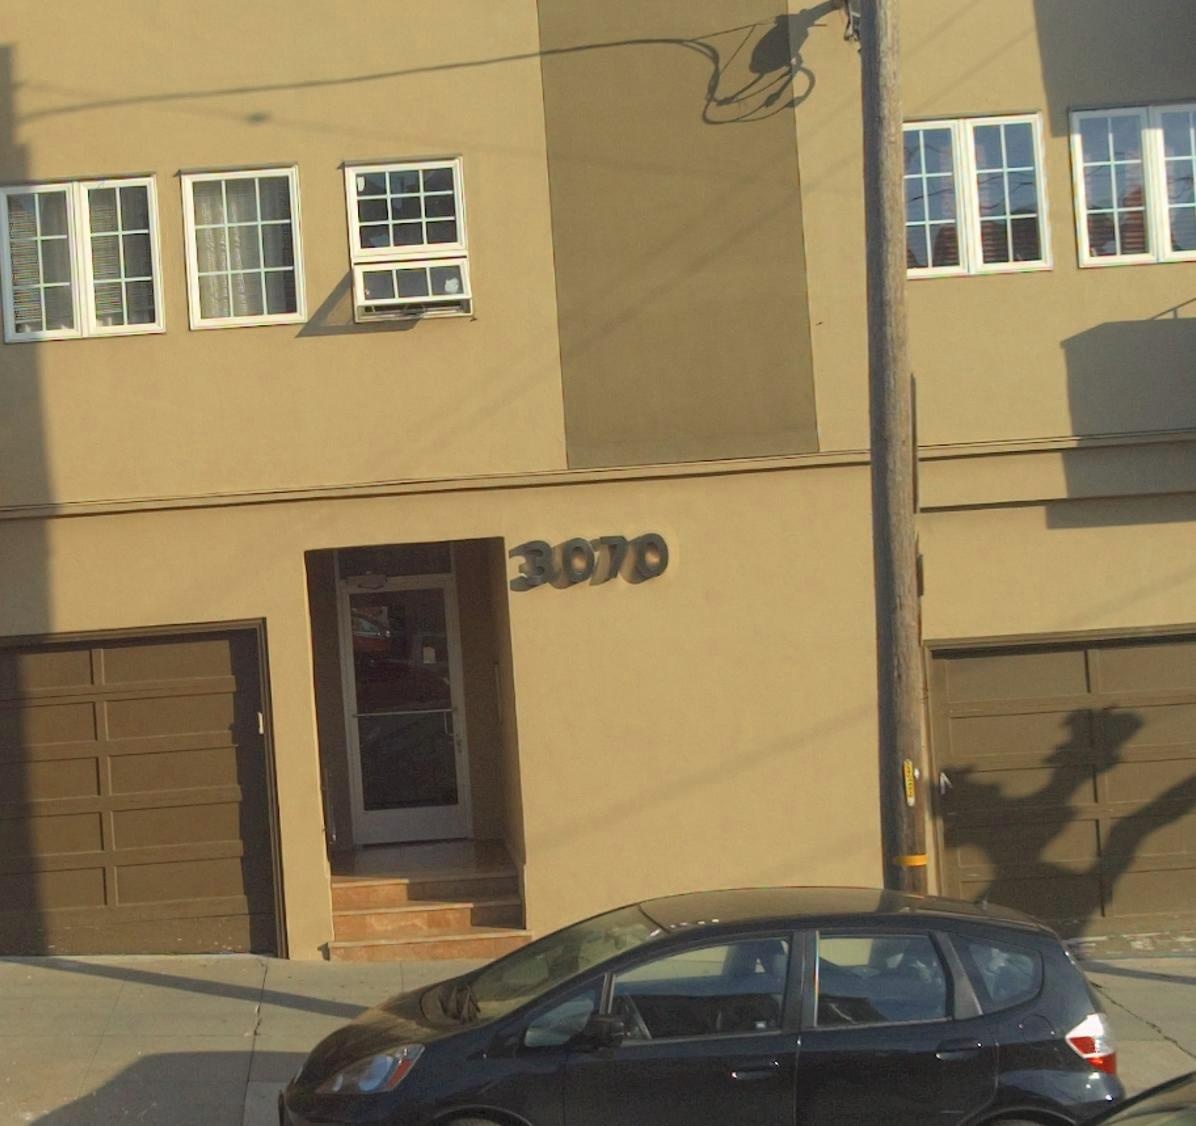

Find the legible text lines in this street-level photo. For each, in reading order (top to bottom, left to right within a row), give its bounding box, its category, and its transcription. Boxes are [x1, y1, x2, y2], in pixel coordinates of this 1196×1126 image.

[520, 529, 672, 590] StreetNumber: 3070